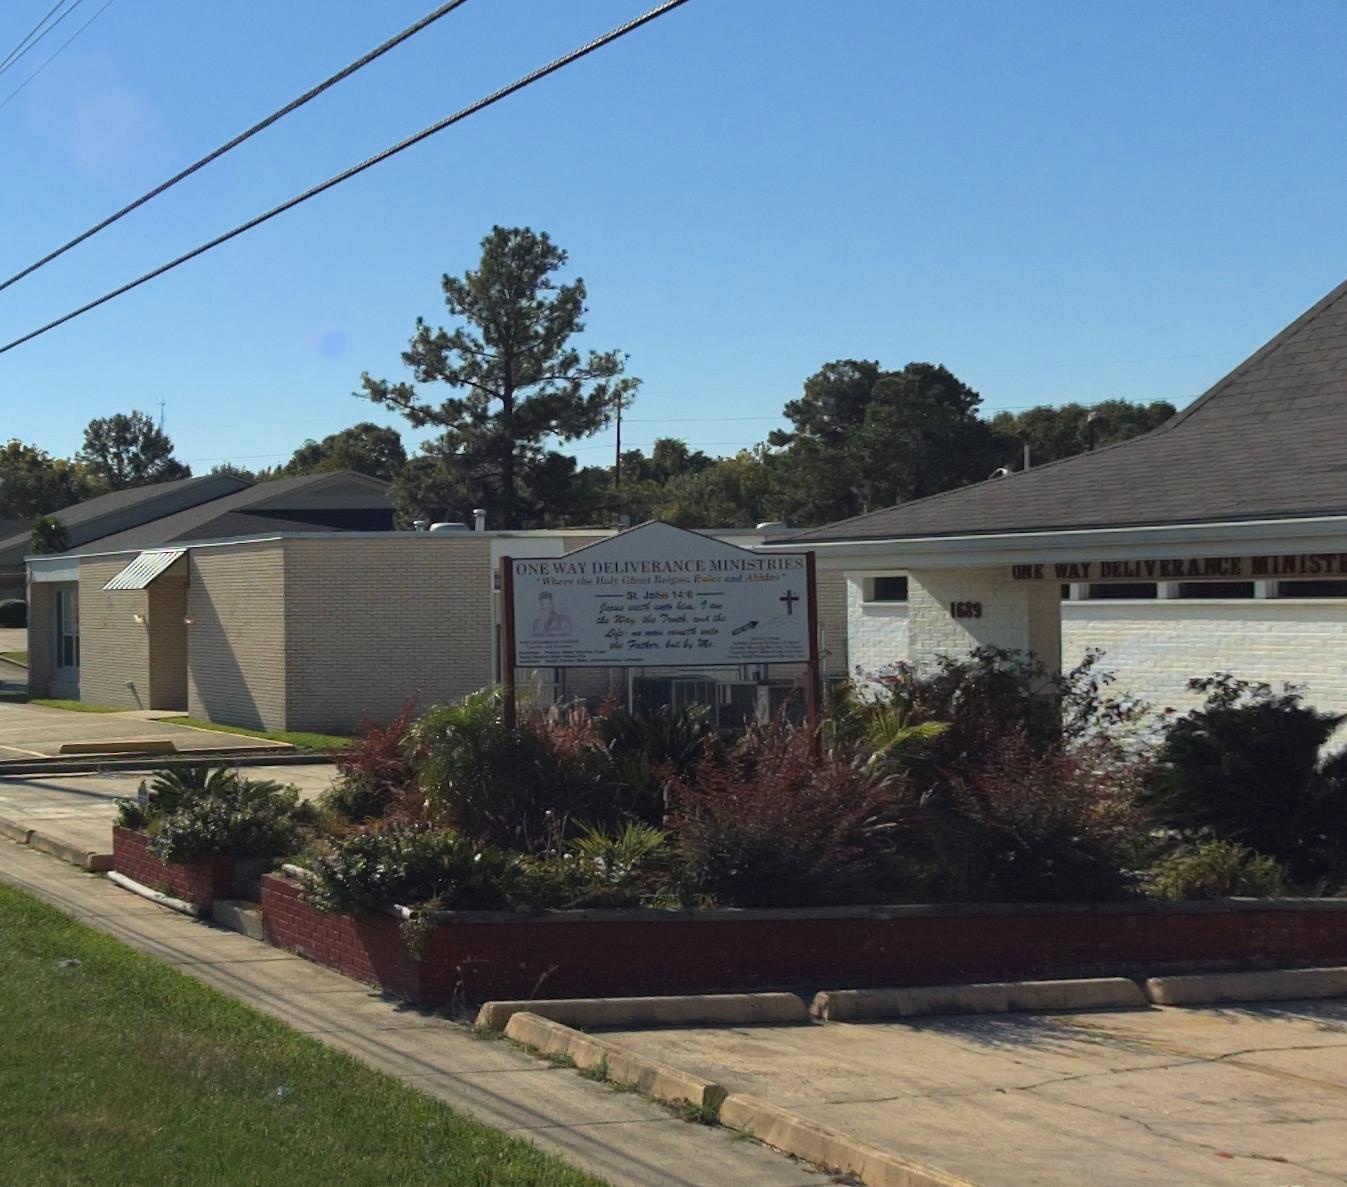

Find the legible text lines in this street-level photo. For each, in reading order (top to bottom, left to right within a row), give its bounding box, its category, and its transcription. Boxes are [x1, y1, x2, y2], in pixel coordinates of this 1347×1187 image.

[513, 555, 806, 579] BusinessName: ONE WAY DELIVERANCE MINISTRIES
[1010, 552, 1339, 581] BusinessName: **E WAY DELIVERANCE MINIST
[537, 575, 553, 588] None: W
[594, 574, 621, 589] None: Holy
[625, 587, 696, 603] None: St. John 14:*
[949, 598, 985, 622] StreetNumber: 1689